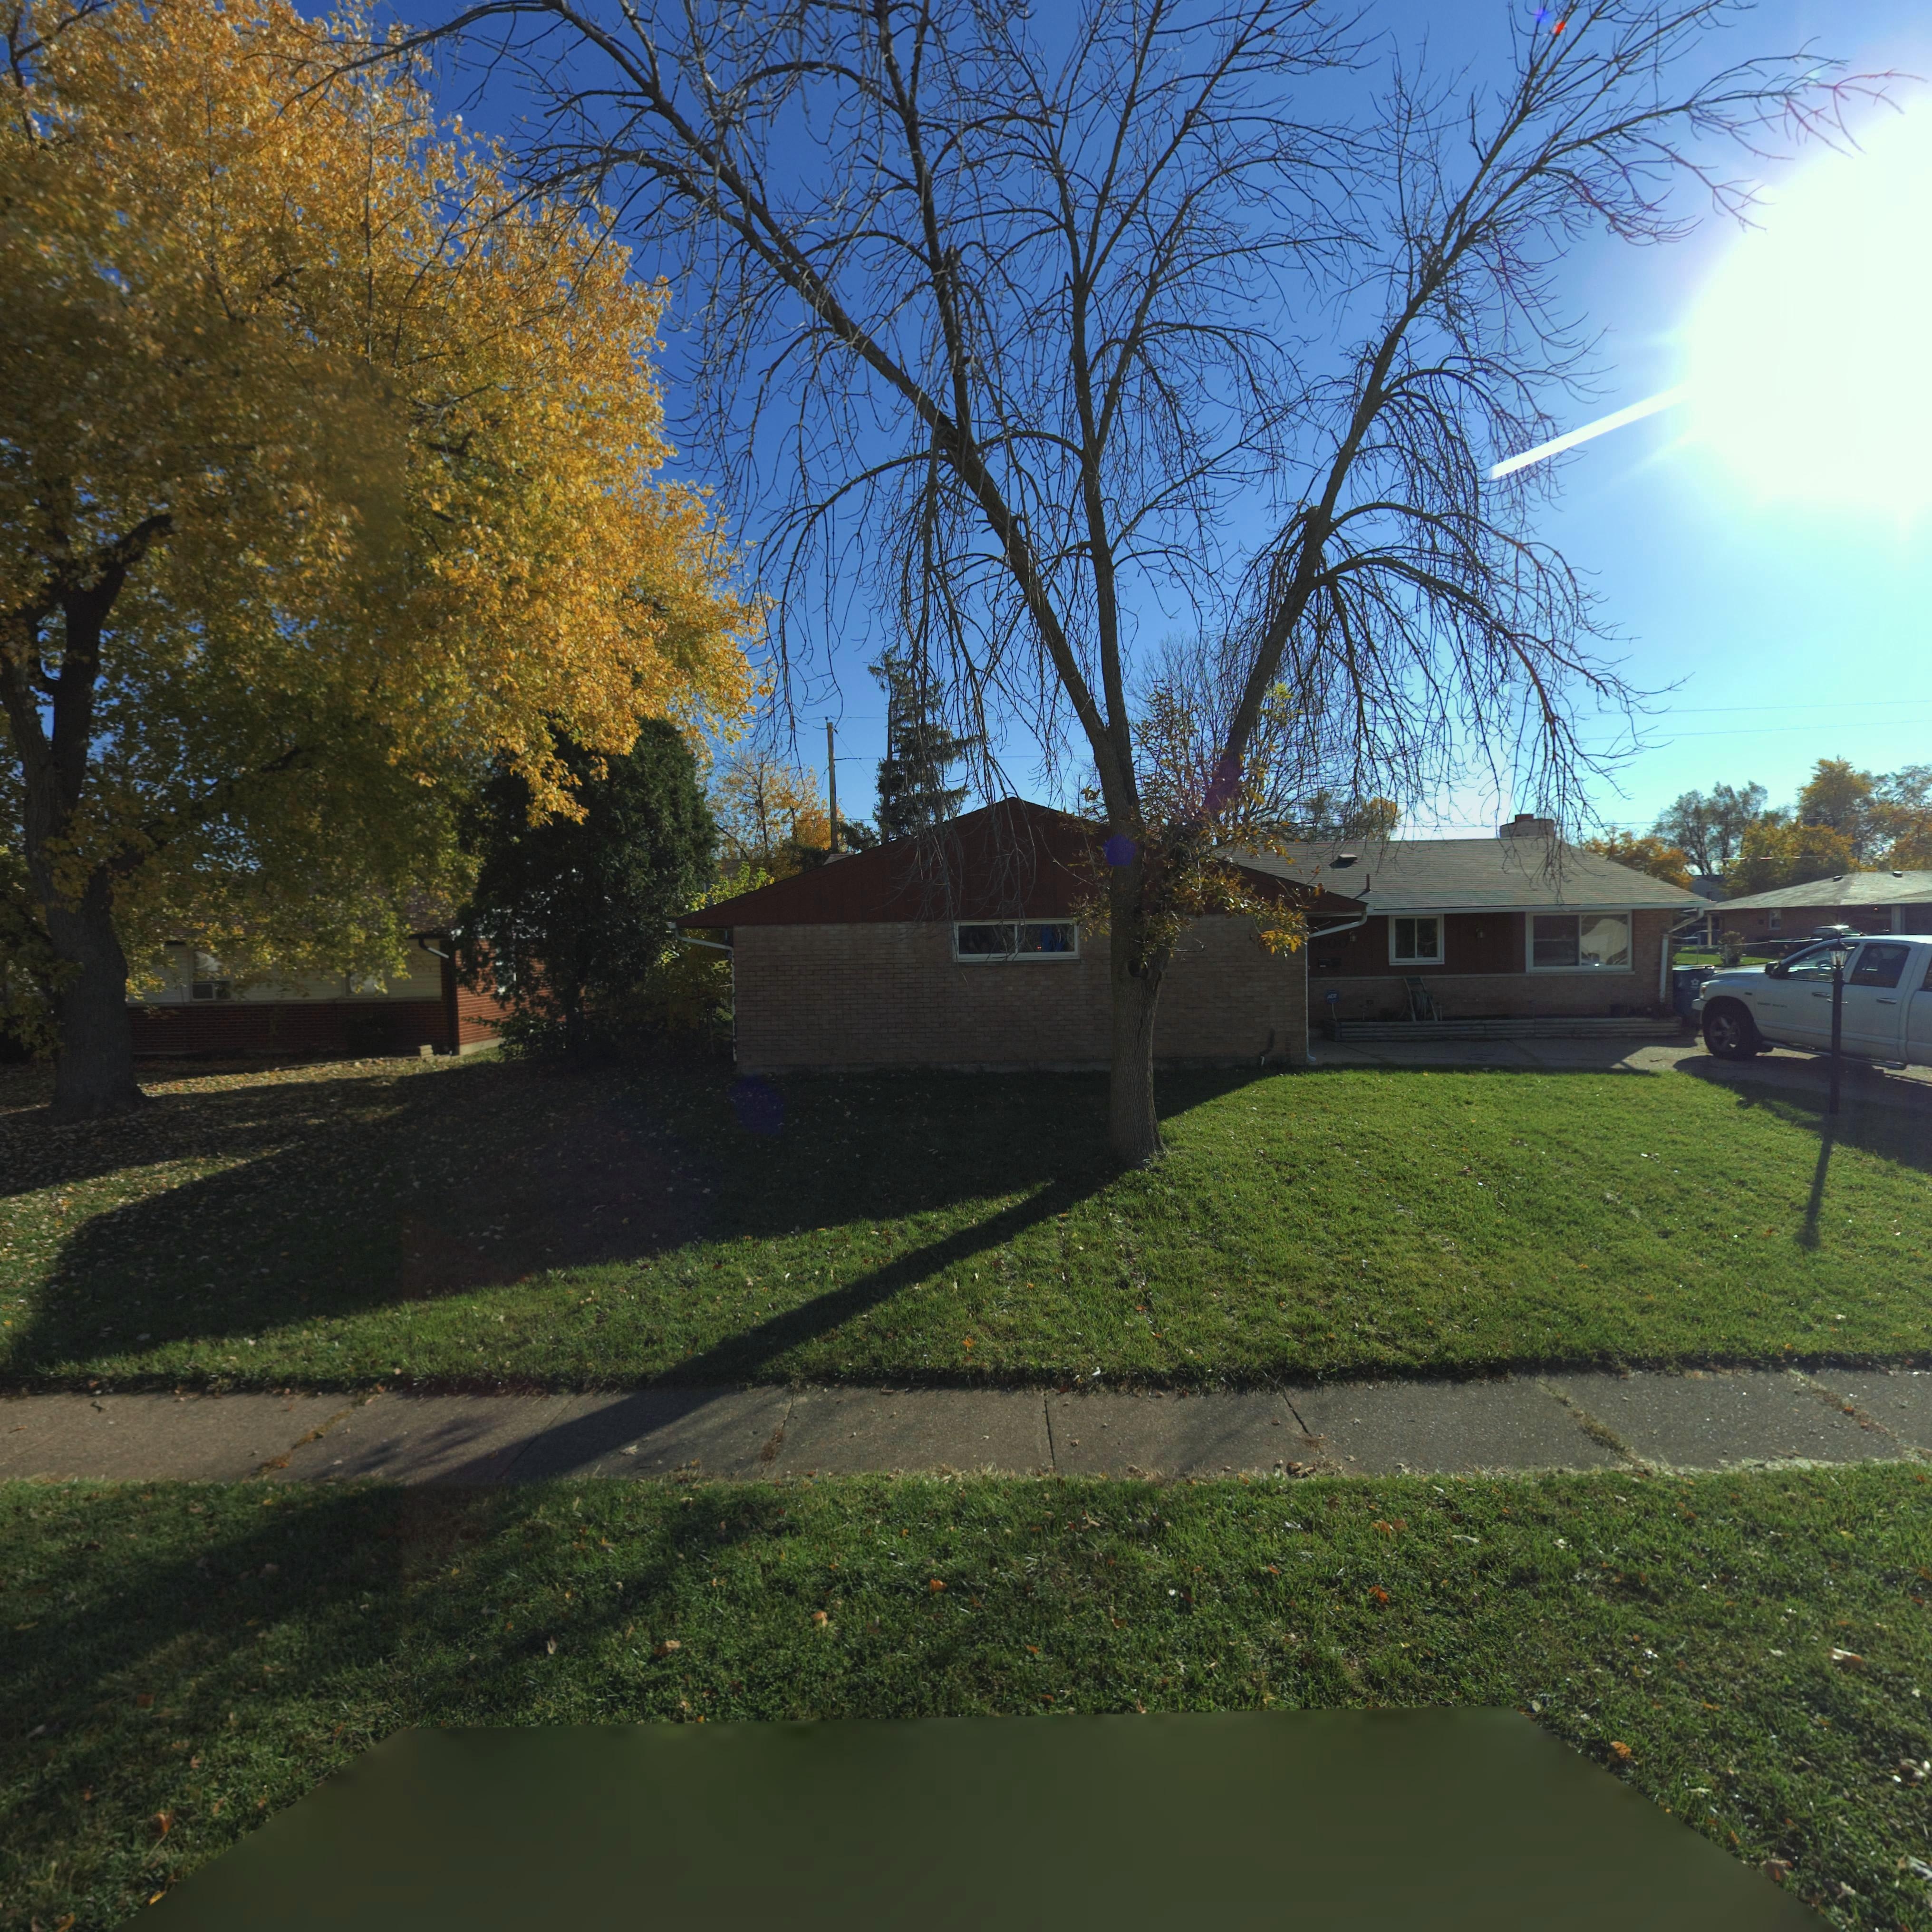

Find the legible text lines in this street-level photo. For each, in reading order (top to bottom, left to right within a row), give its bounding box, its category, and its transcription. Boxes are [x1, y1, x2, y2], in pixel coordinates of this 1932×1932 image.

[1309, 937, 1350, 950] StreetNumber: 7800